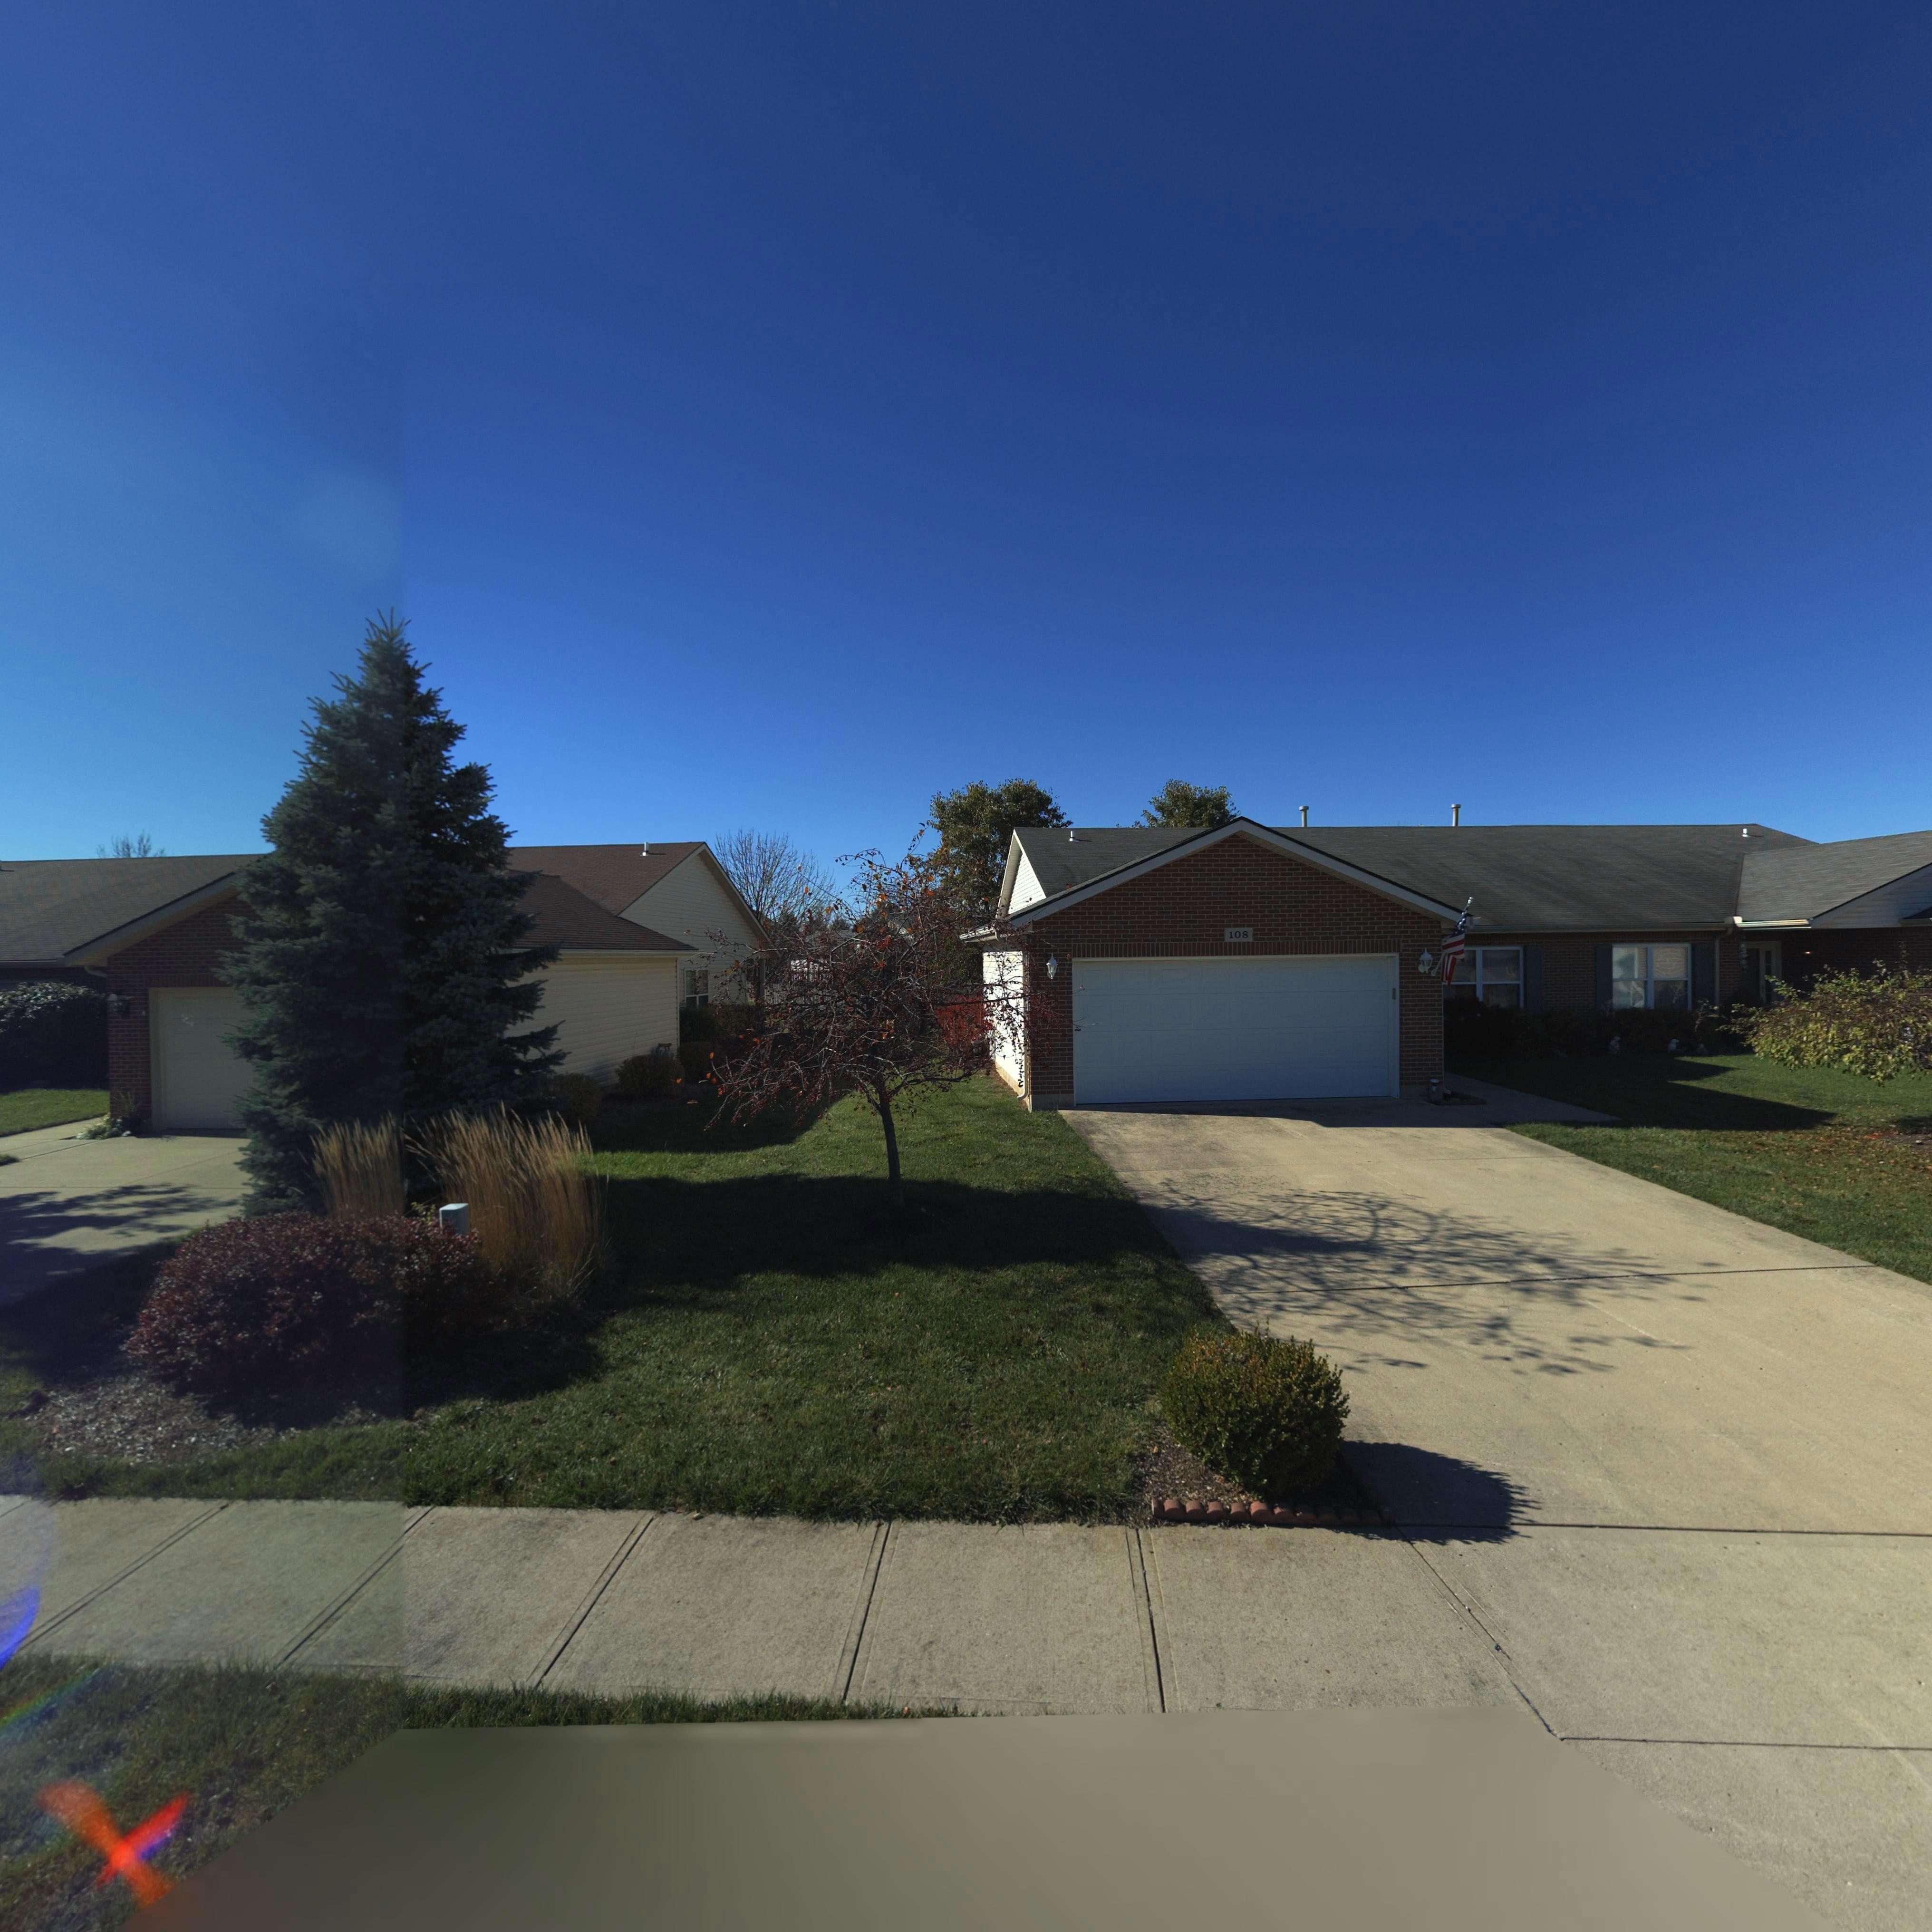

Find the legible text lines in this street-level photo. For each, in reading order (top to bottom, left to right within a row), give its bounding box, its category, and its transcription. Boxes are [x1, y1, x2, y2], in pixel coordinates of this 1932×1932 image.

[1229, 930, 1249, 939] StreetNumber: 108